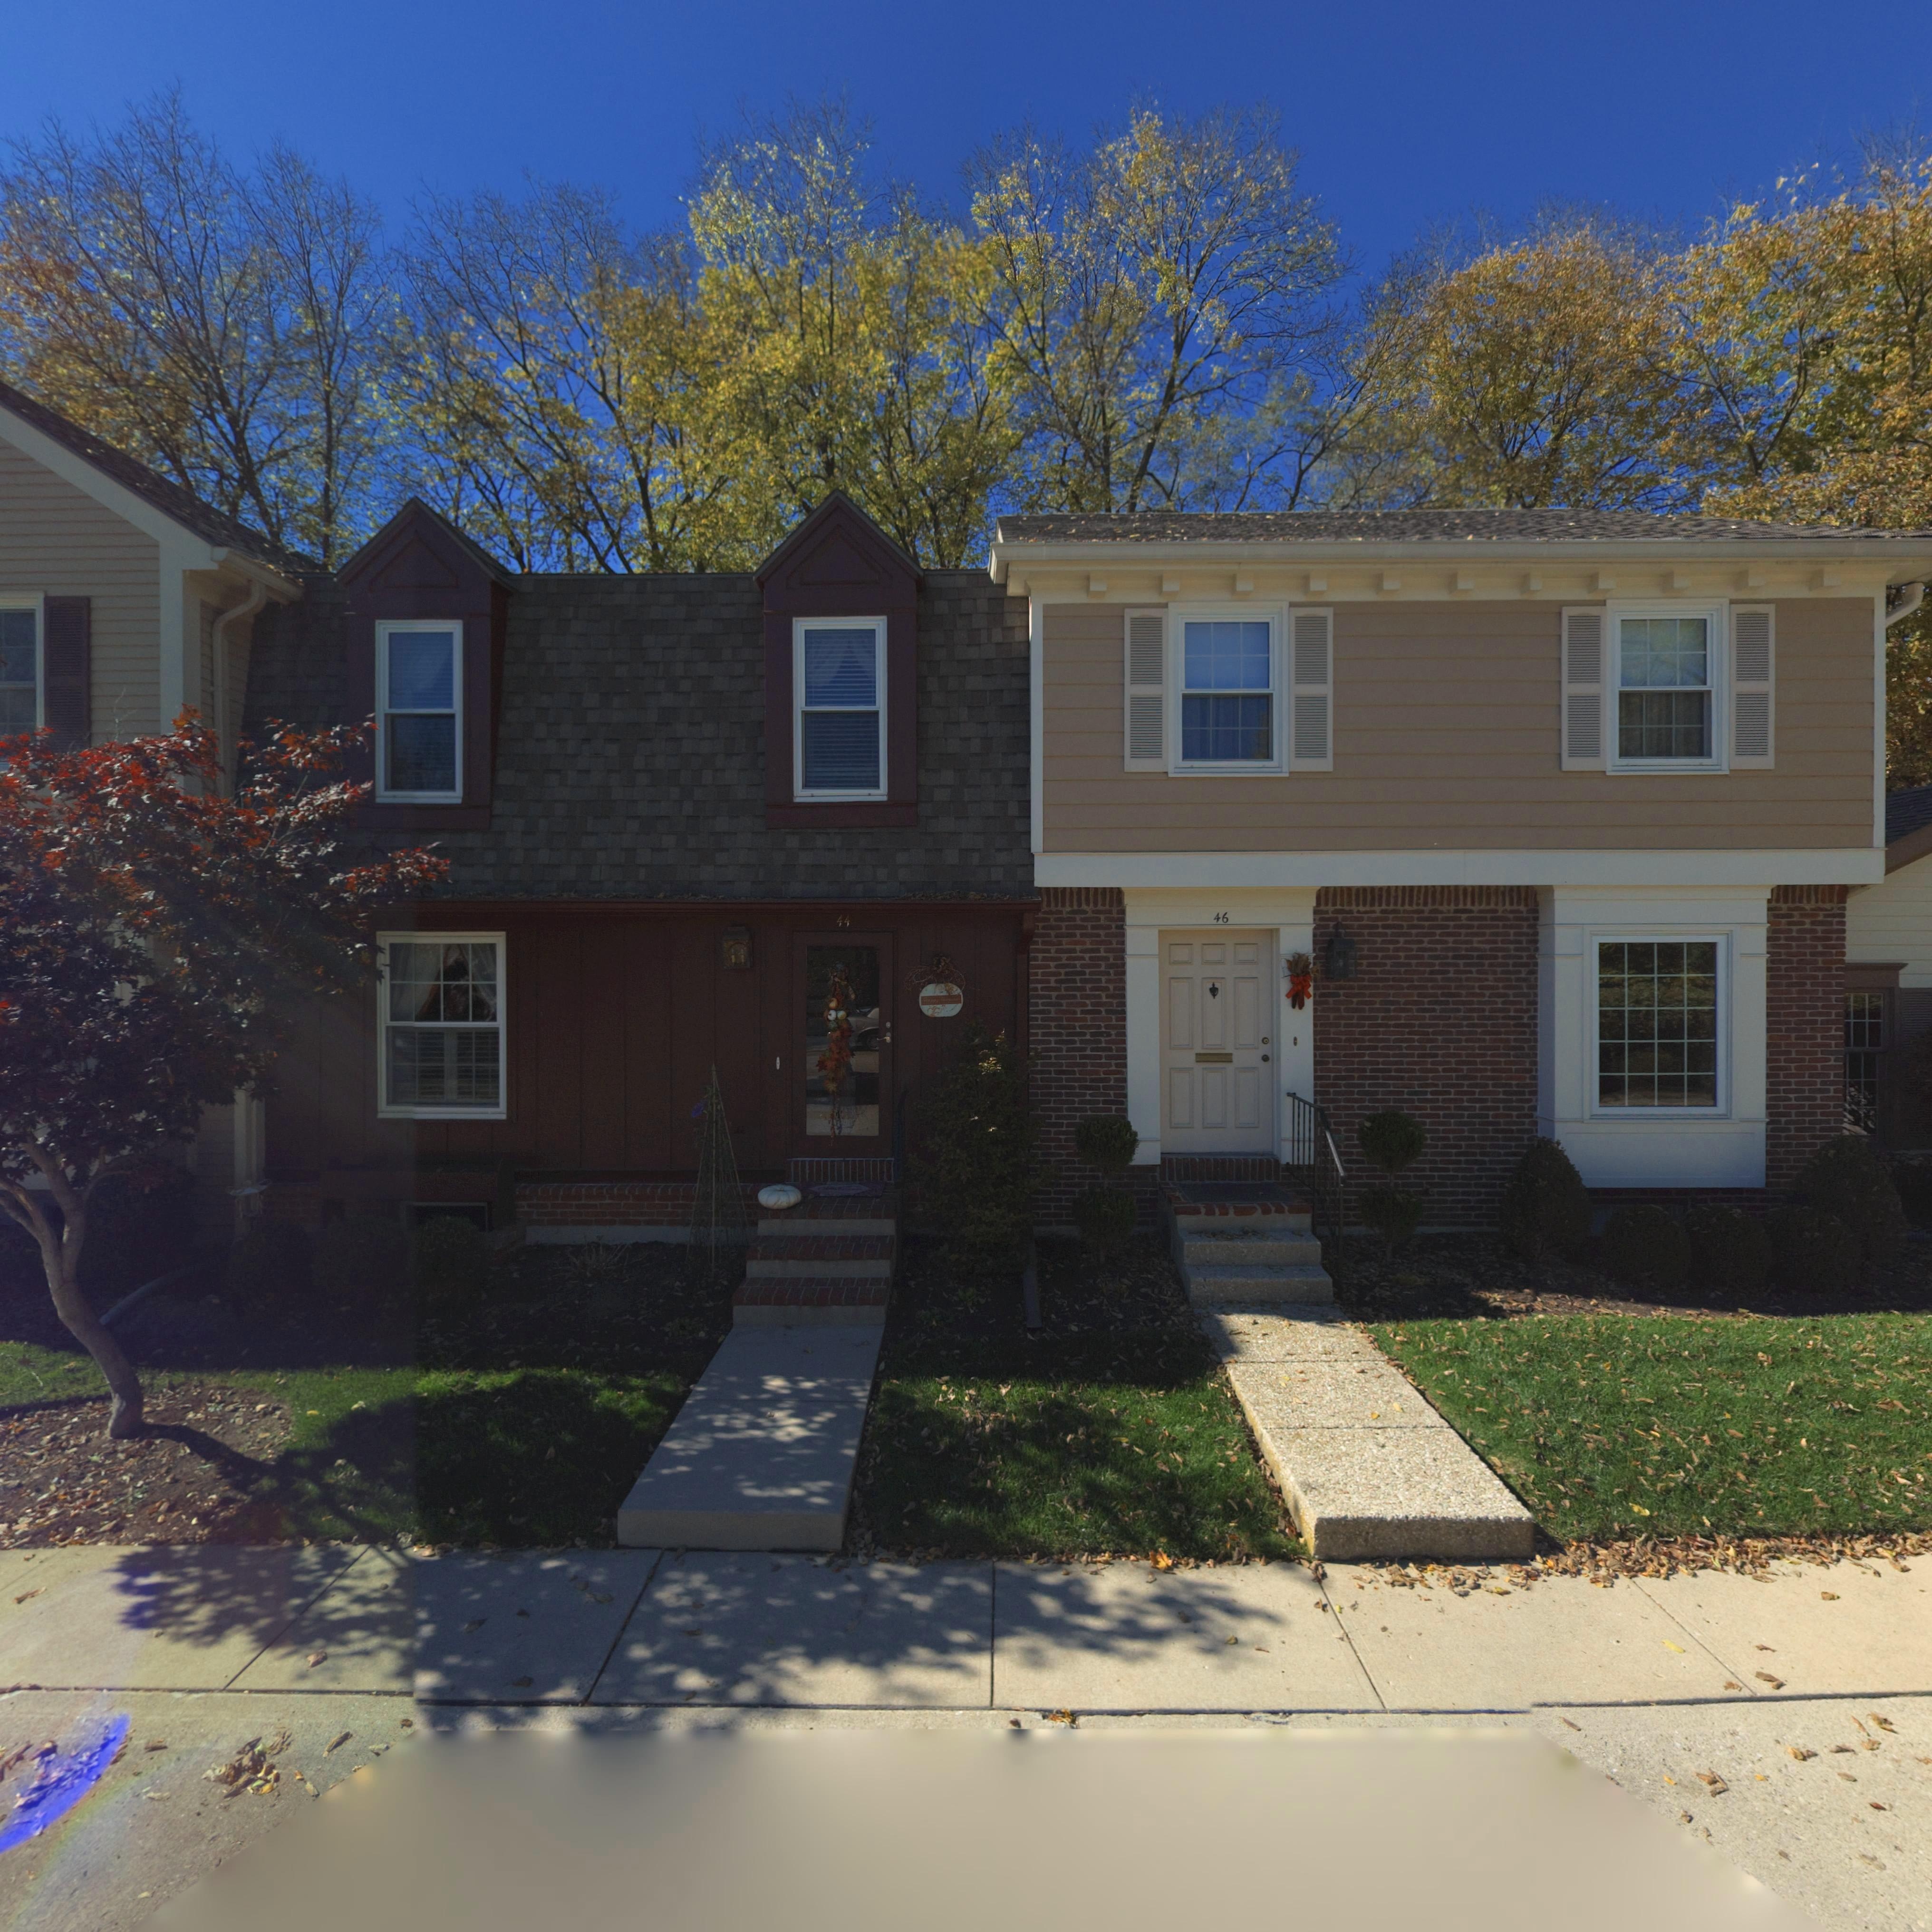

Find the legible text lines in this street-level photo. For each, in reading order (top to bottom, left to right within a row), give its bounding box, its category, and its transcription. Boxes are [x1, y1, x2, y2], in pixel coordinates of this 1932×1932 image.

[835, 914, 851, 927] StreetNumber: 44
[1213, 911, 1229, 923] StreetNumber: 46